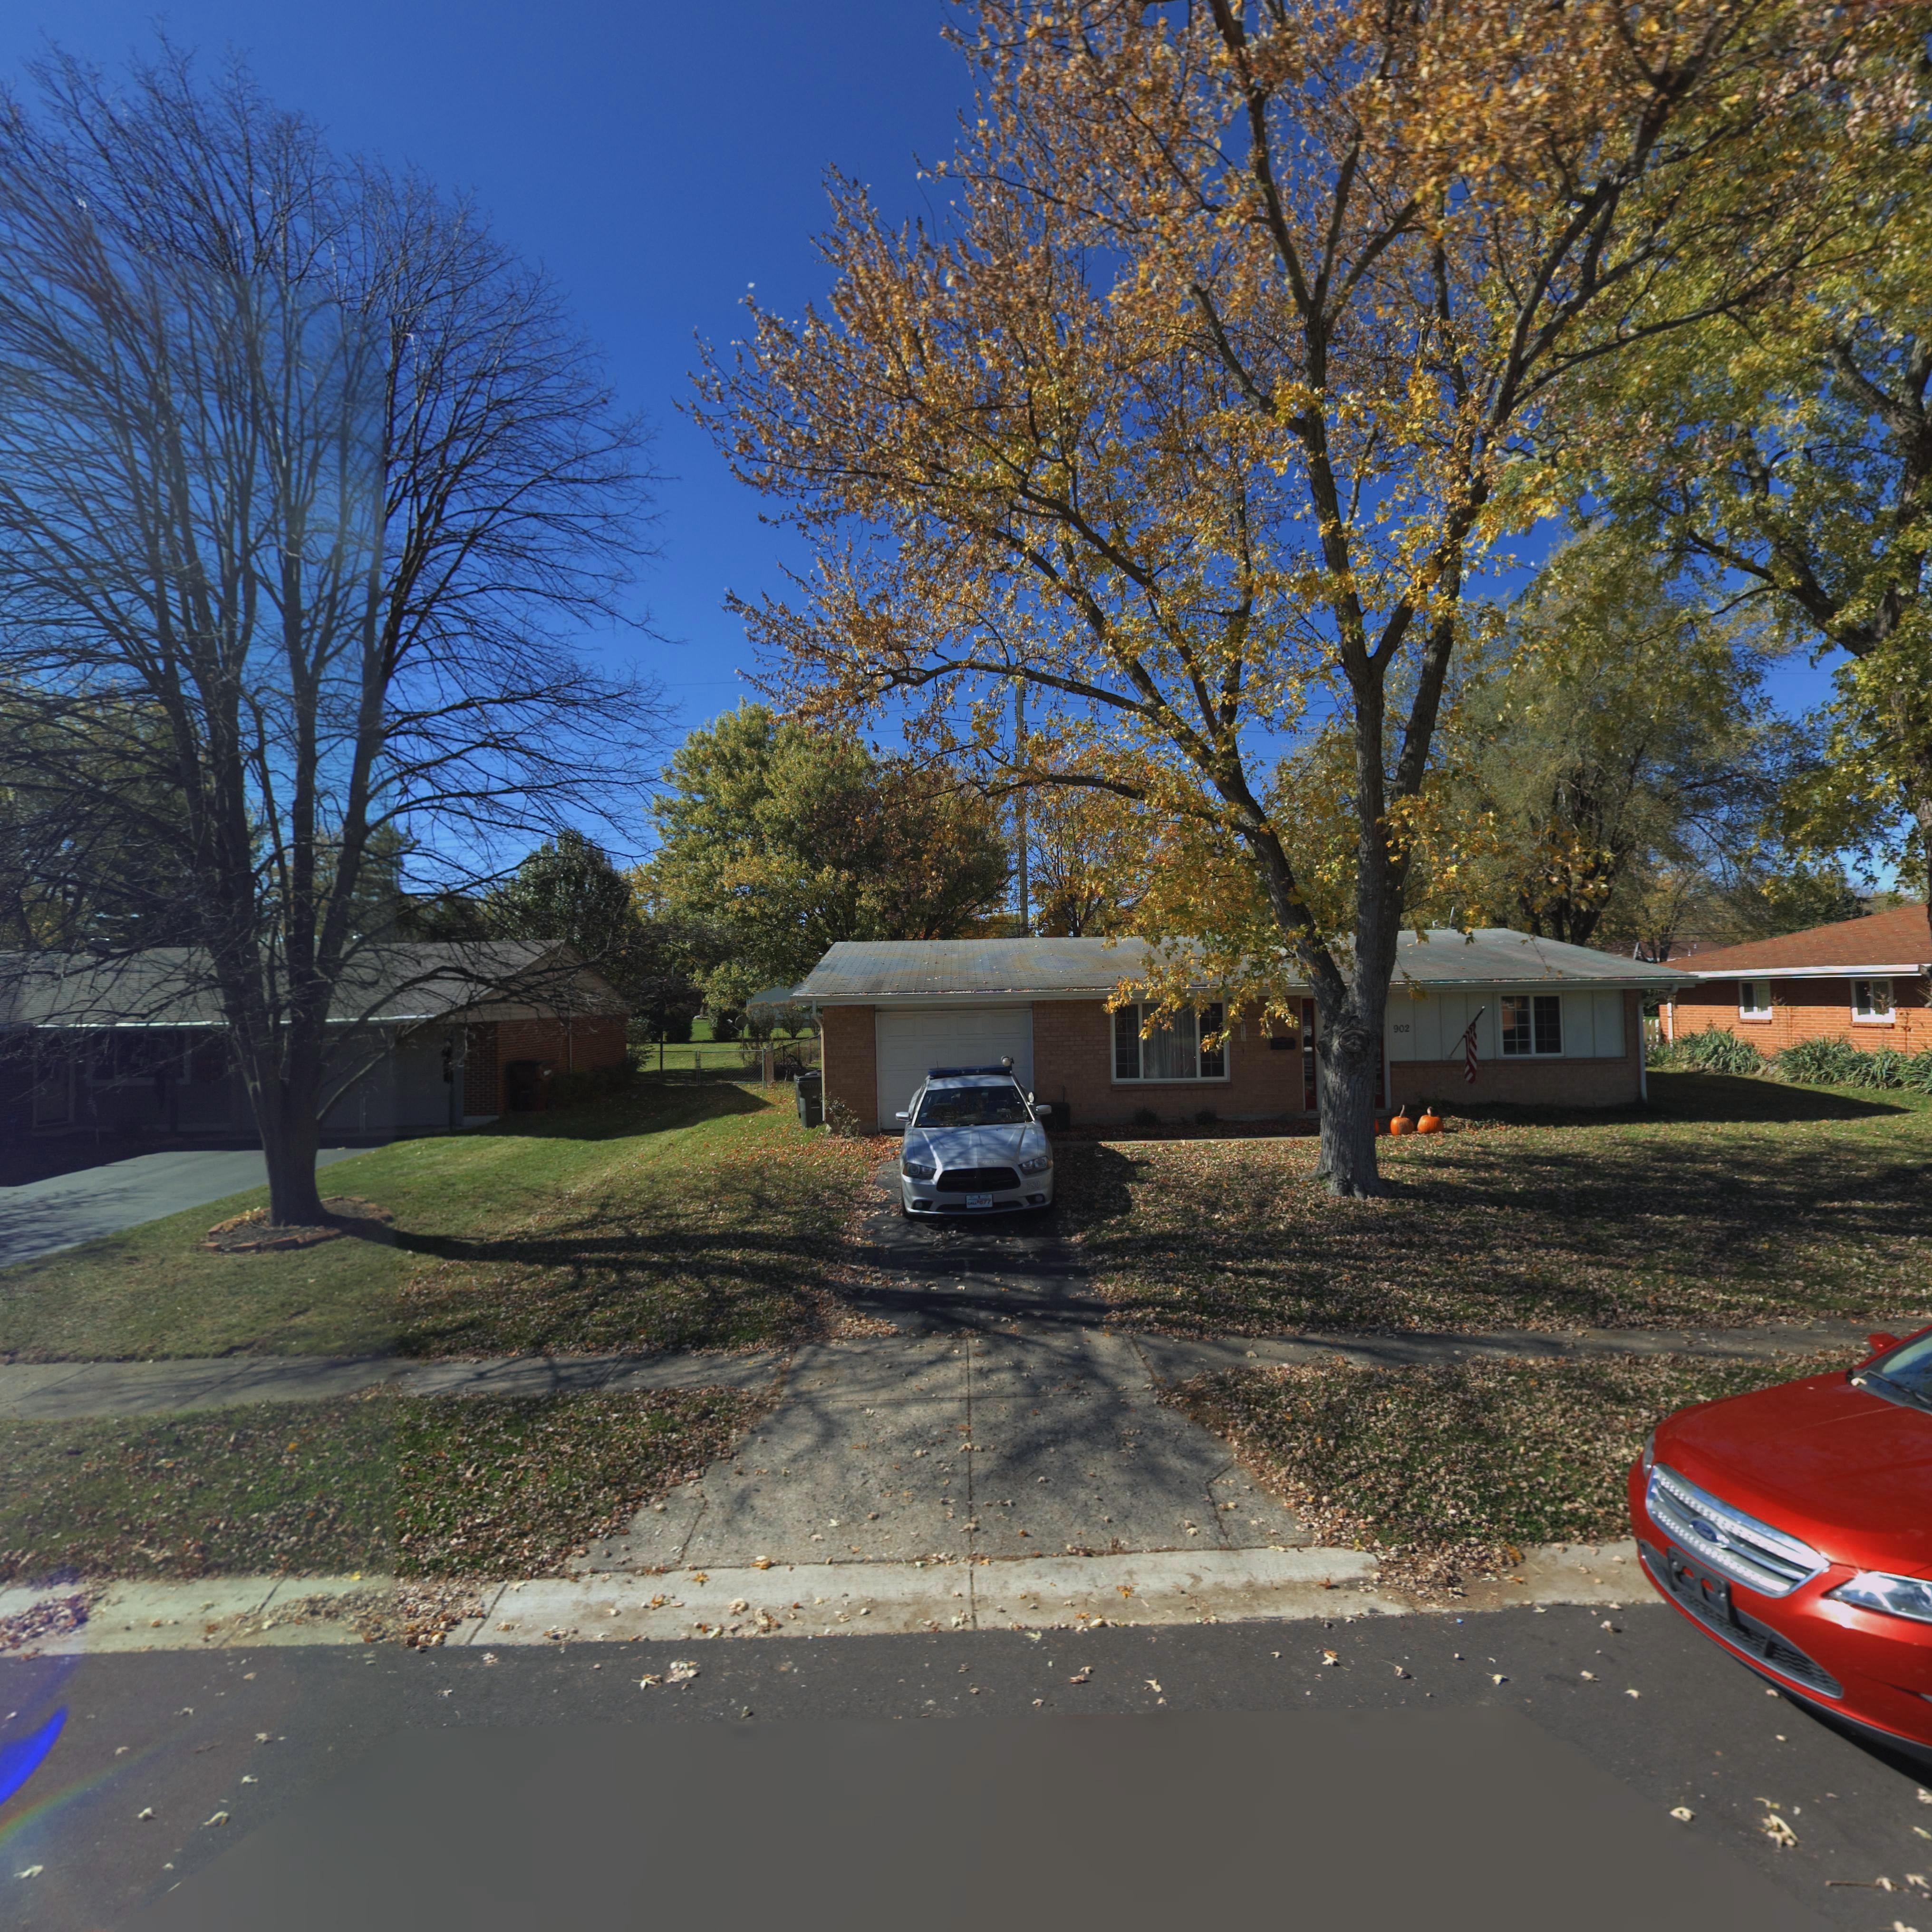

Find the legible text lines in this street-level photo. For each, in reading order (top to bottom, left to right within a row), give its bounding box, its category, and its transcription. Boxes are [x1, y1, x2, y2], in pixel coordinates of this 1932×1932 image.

[1393, 1024, 1410, 1033] StreetNumber: 902